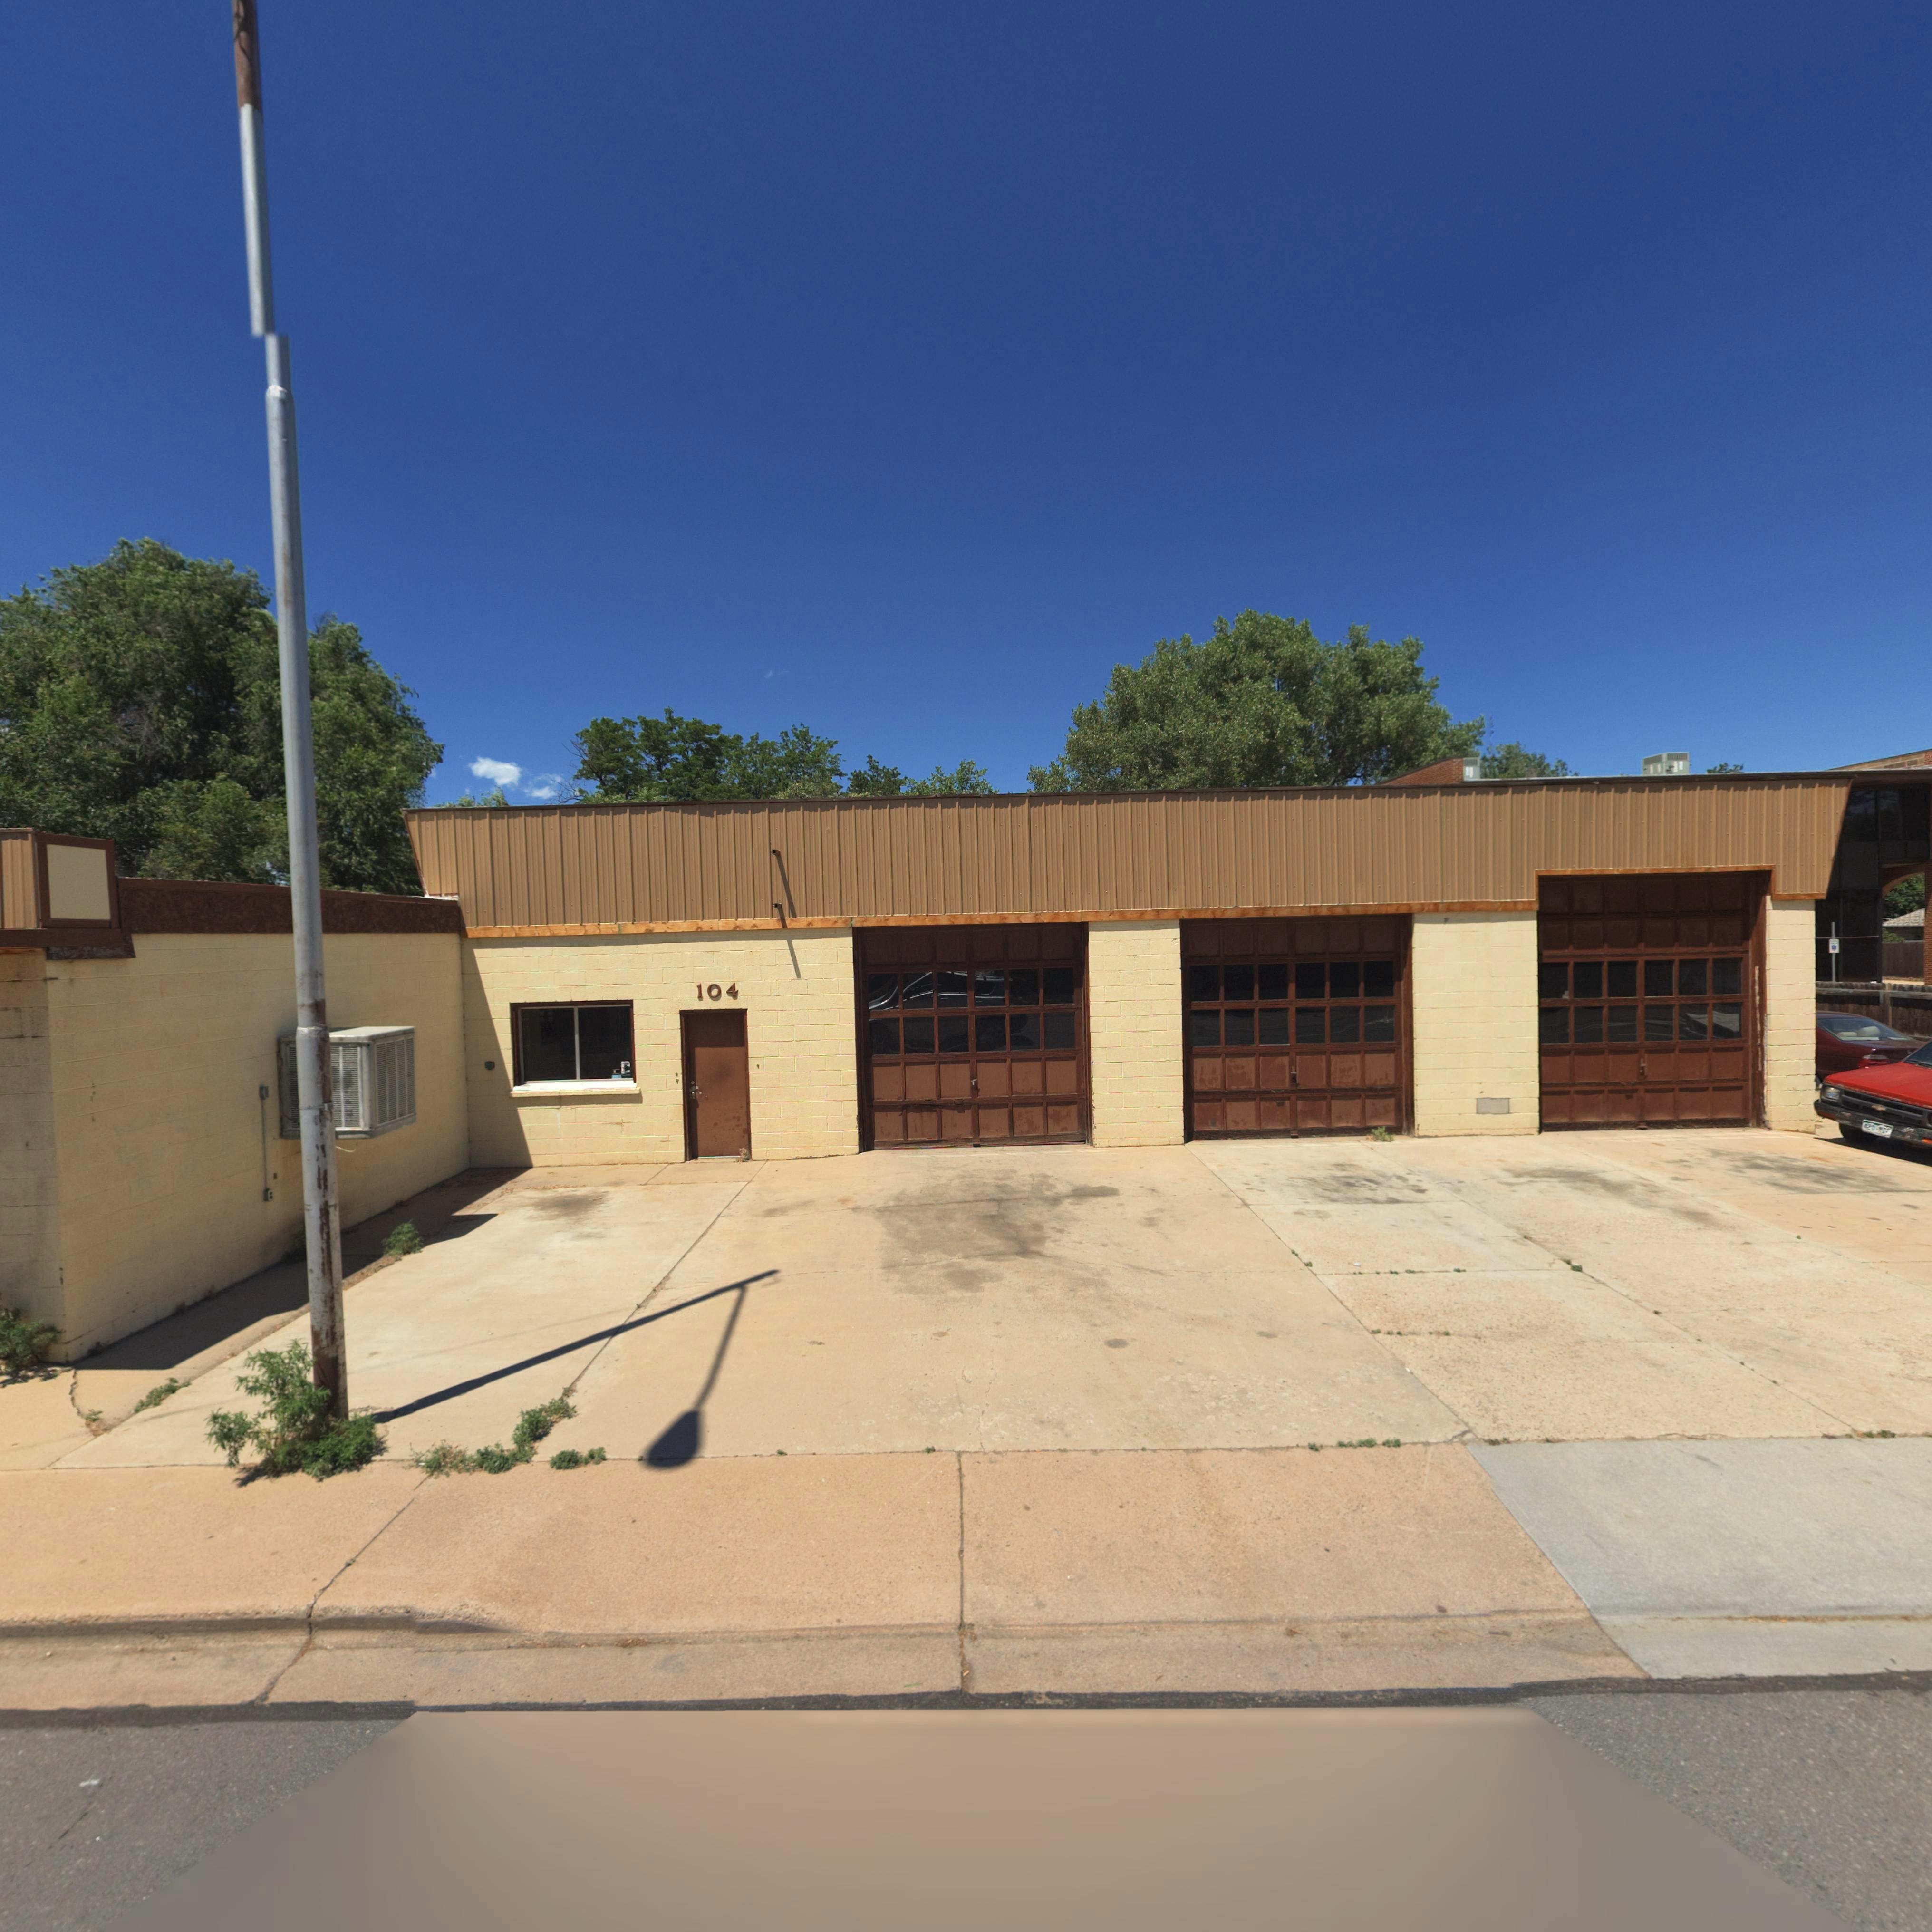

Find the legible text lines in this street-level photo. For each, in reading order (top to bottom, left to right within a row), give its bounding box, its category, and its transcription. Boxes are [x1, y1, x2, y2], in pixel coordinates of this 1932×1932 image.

[696, 982, 738, 998] StreetNumber: 104